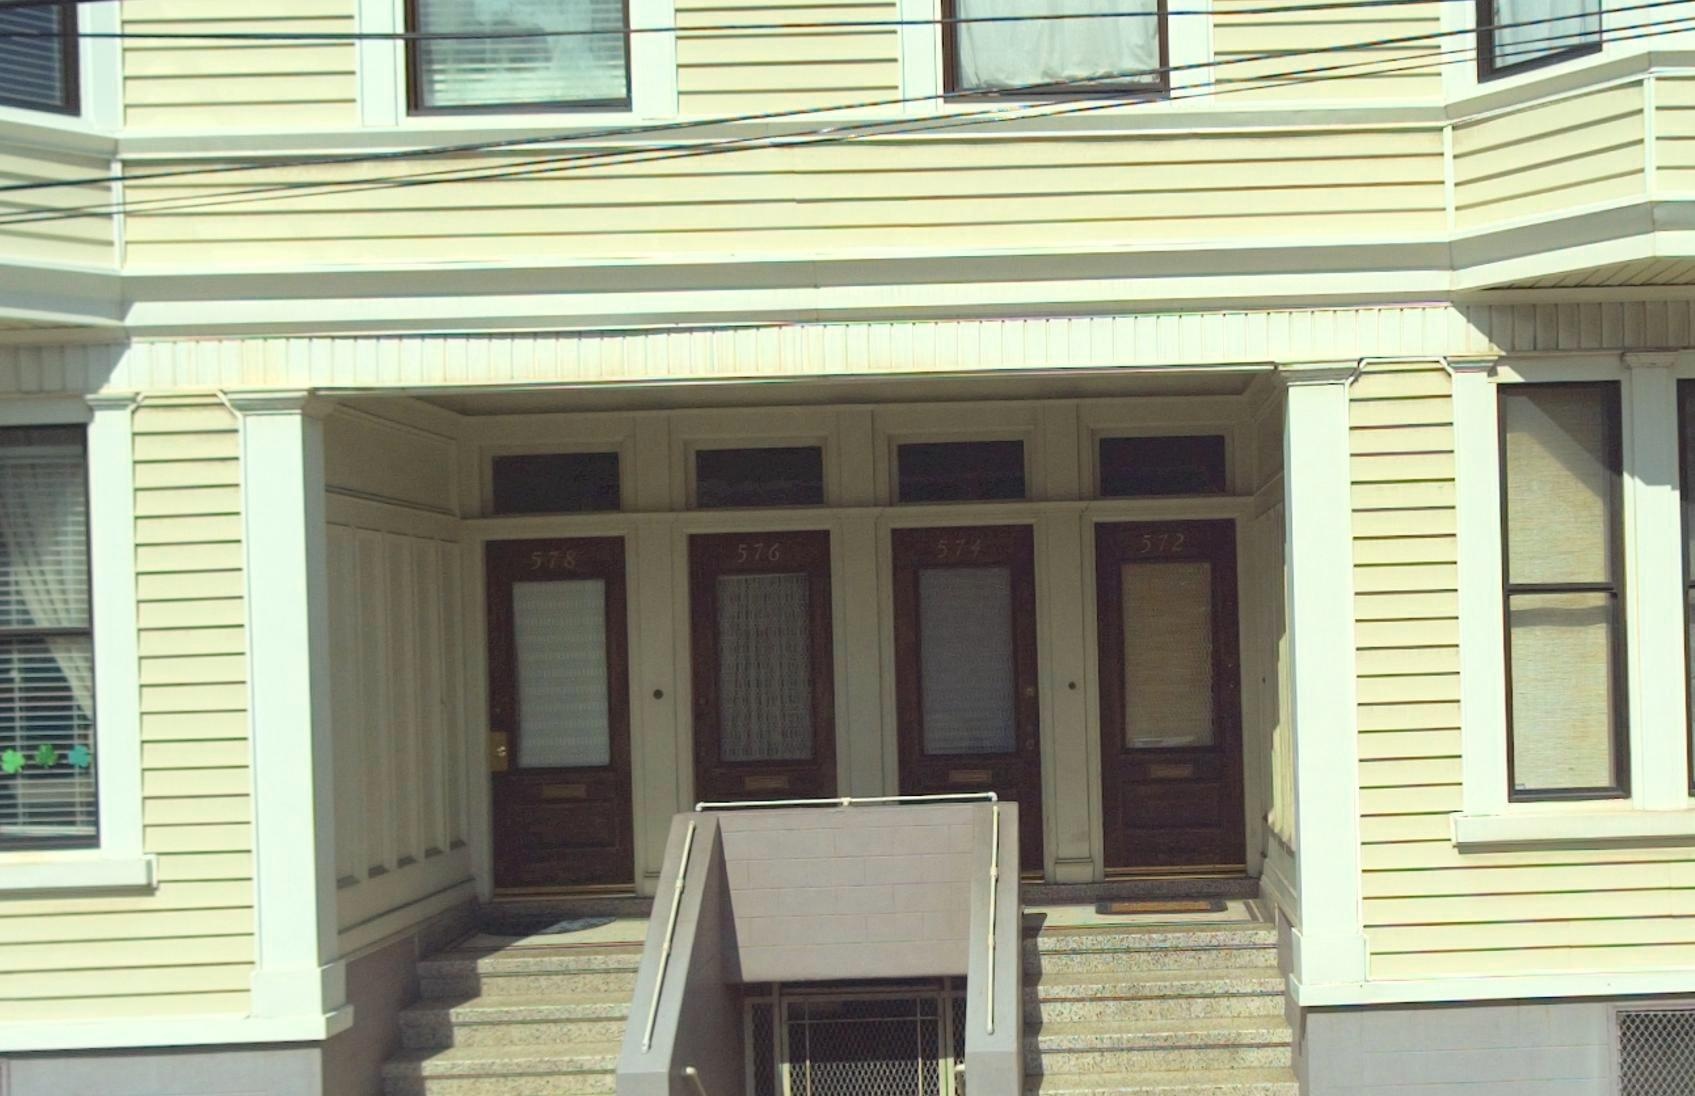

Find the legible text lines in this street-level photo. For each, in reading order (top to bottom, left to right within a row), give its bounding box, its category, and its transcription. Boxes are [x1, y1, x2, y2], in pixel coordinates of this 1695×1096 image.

[525, 544, 579, 576] StreetNumber: 578
[732, 540, 782, 568] StreetNumber: 576
[933, 535, 984, 562] StreetNumber: 574
[1137, 529, 1188, 558] StreetNumber: 572